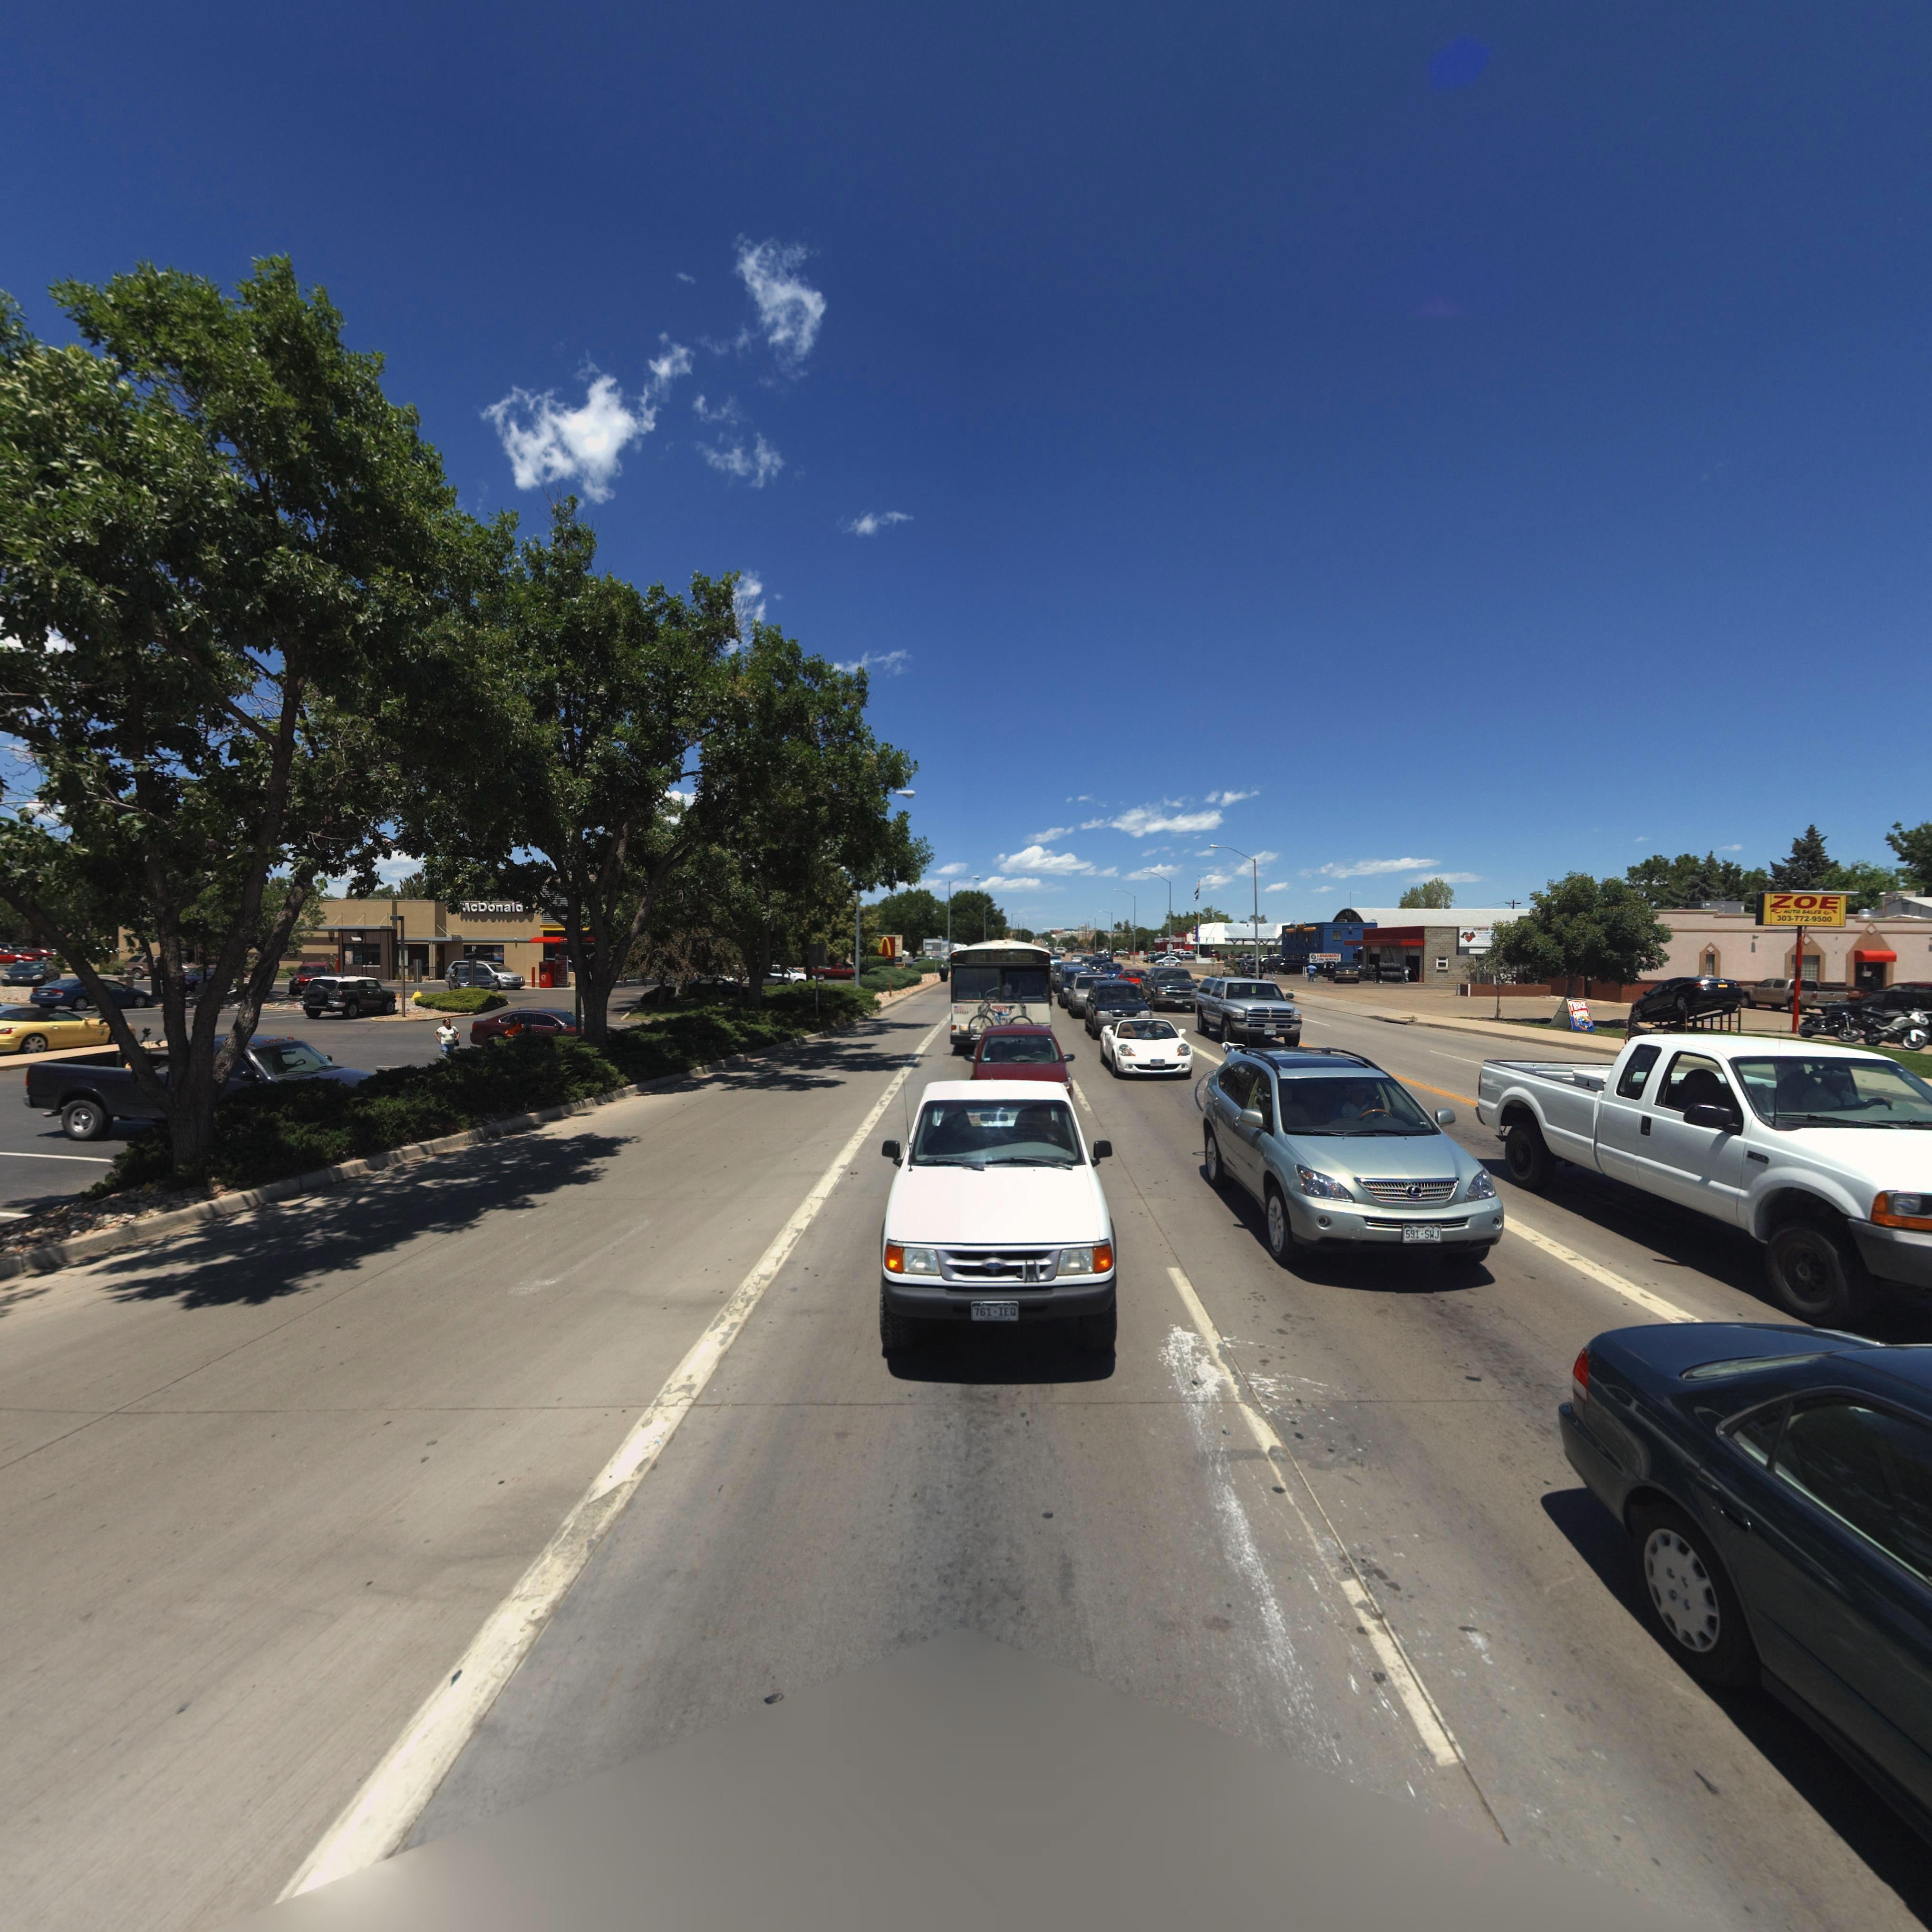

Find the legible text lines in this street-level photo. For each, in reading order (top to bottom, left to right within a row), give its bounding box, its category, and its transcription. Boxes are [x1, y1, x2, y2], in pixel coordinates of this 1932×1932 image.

[457, 902, 523, 912] BusinessName: McDonald
[1782, 908, 1822, 914] BusinessName: AUTO SALES
[1768, 895, 1841, 909] BusinessName: ZOE
[1192, 926, 1196, 937] BusinessName: VF*
[1316, 954, 1339, 957] BusinessName: LONGMONT